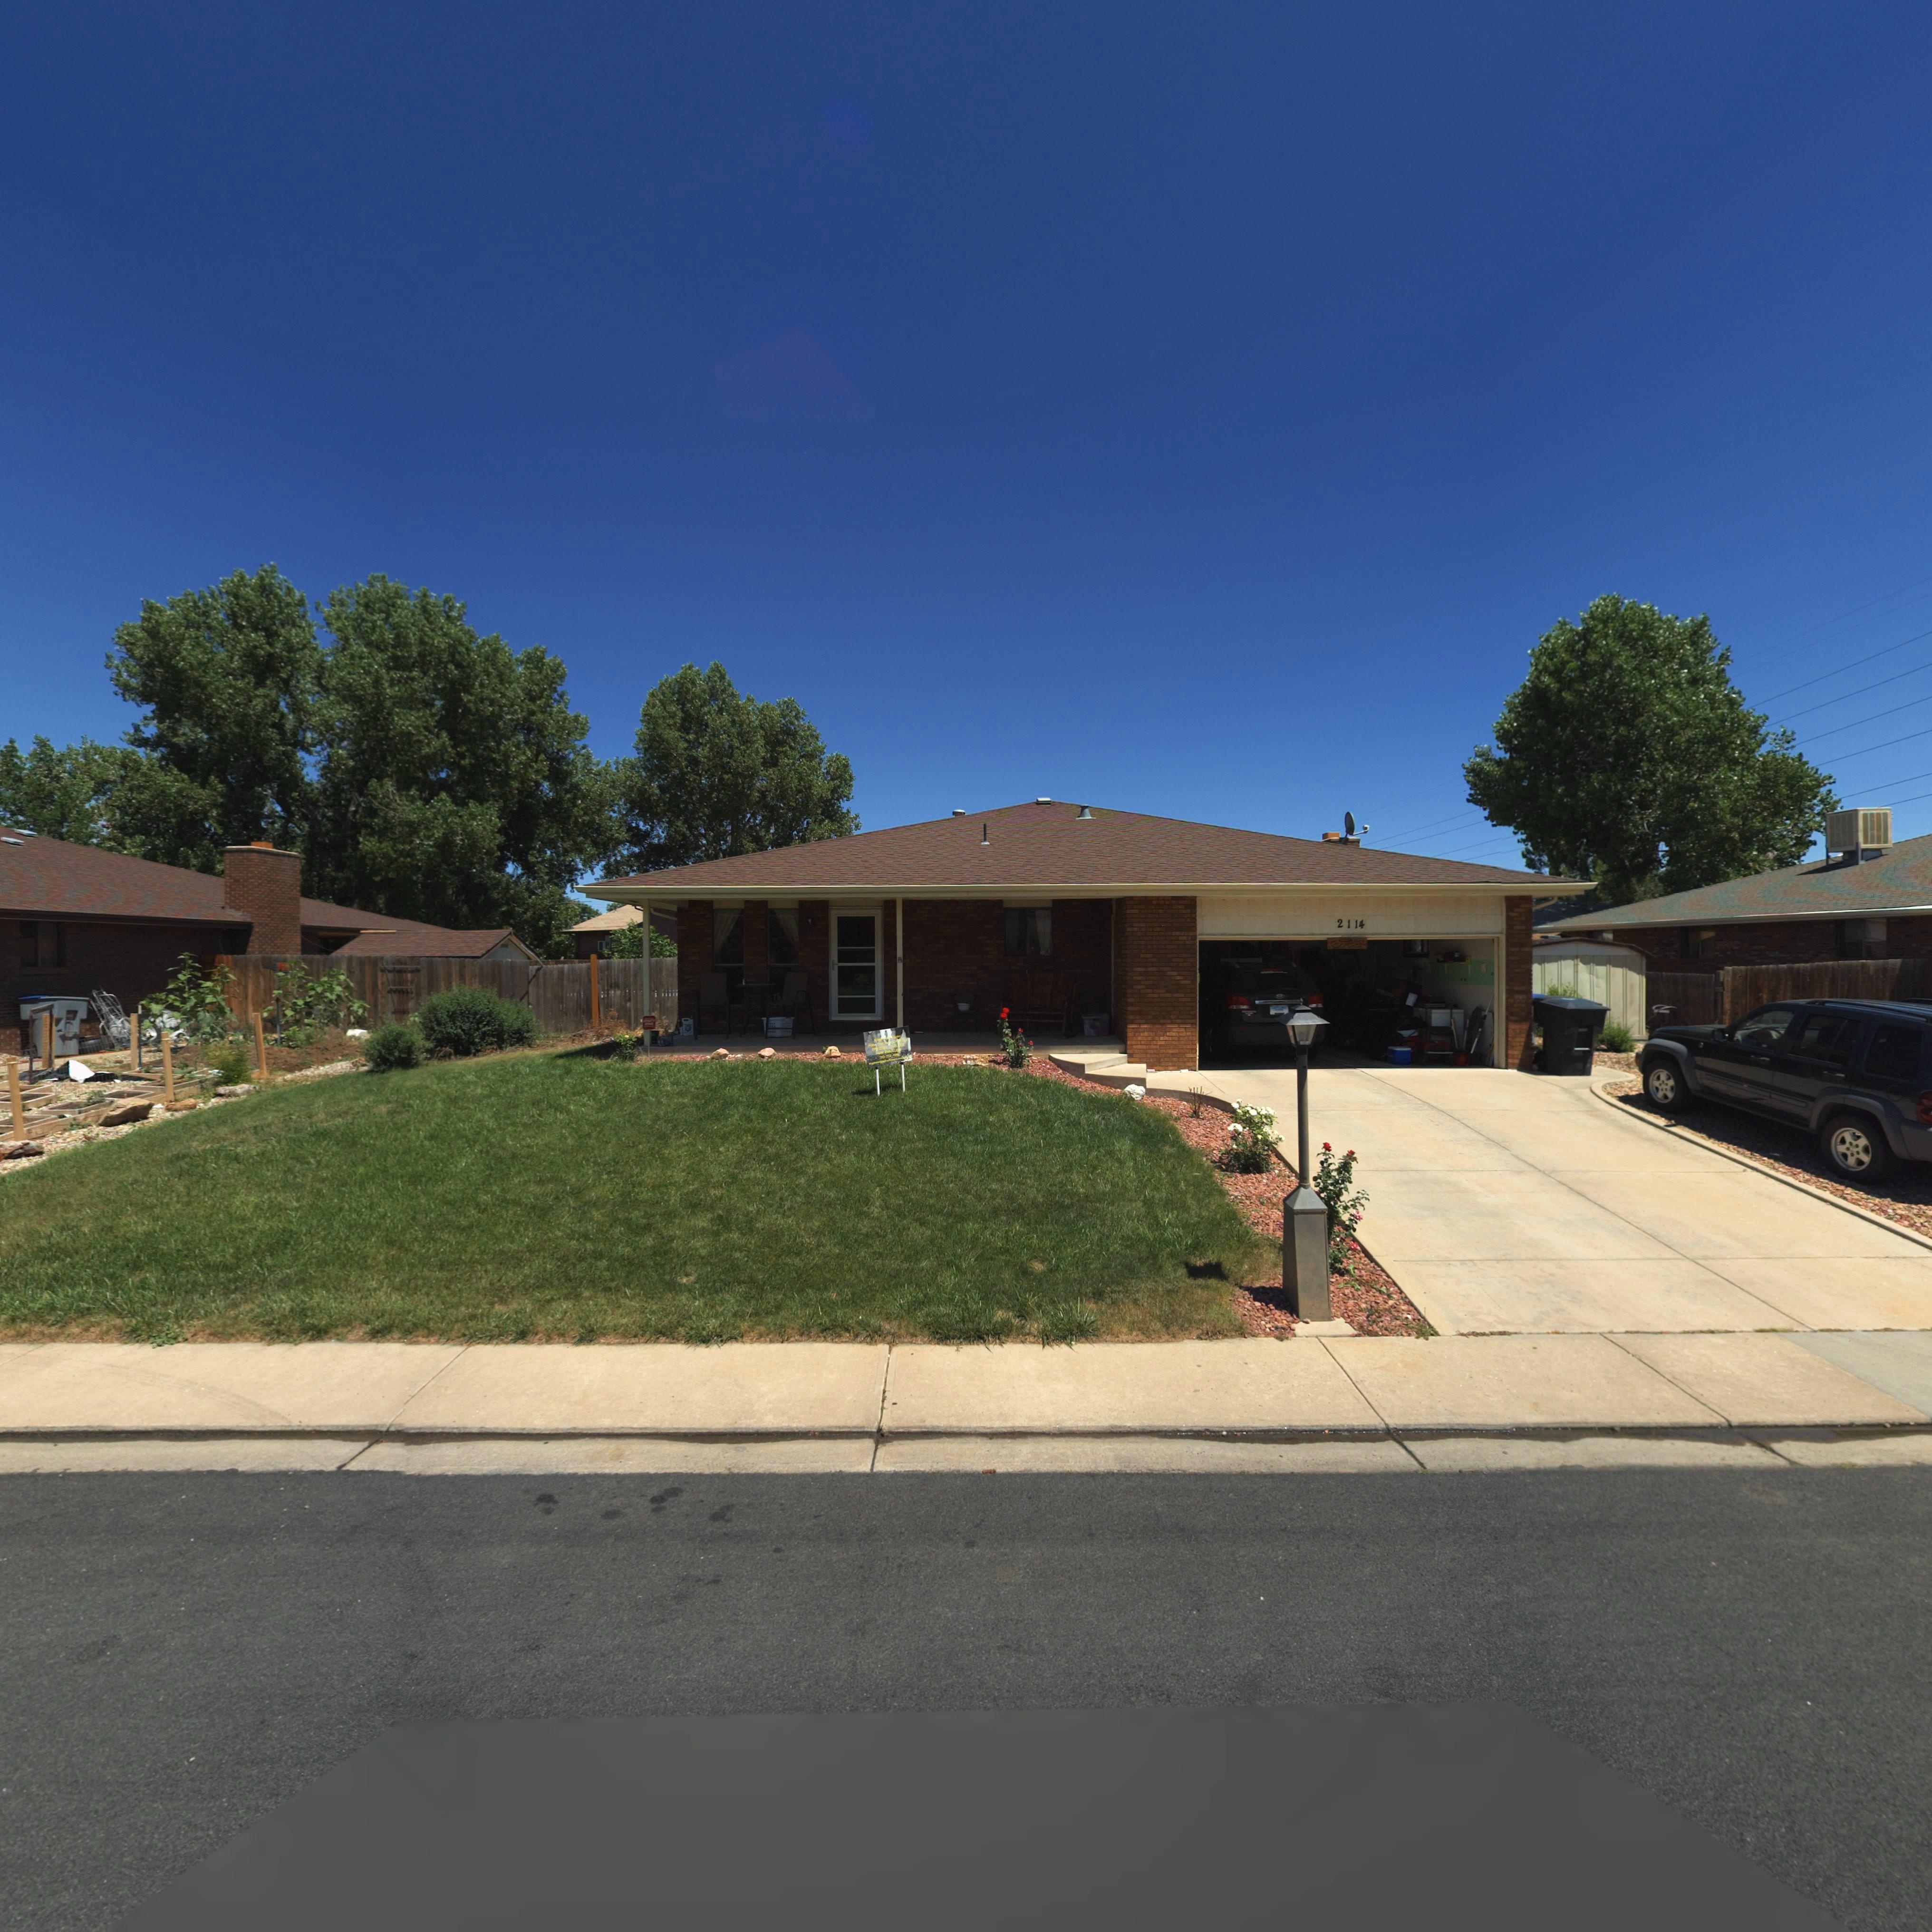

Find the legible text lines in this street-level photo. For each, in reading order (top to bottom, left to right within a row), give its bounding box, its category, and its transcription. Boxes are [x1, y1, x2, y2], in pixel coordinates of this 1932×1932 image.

[1337, 918, 1365, 929] StreetNumber: 2114